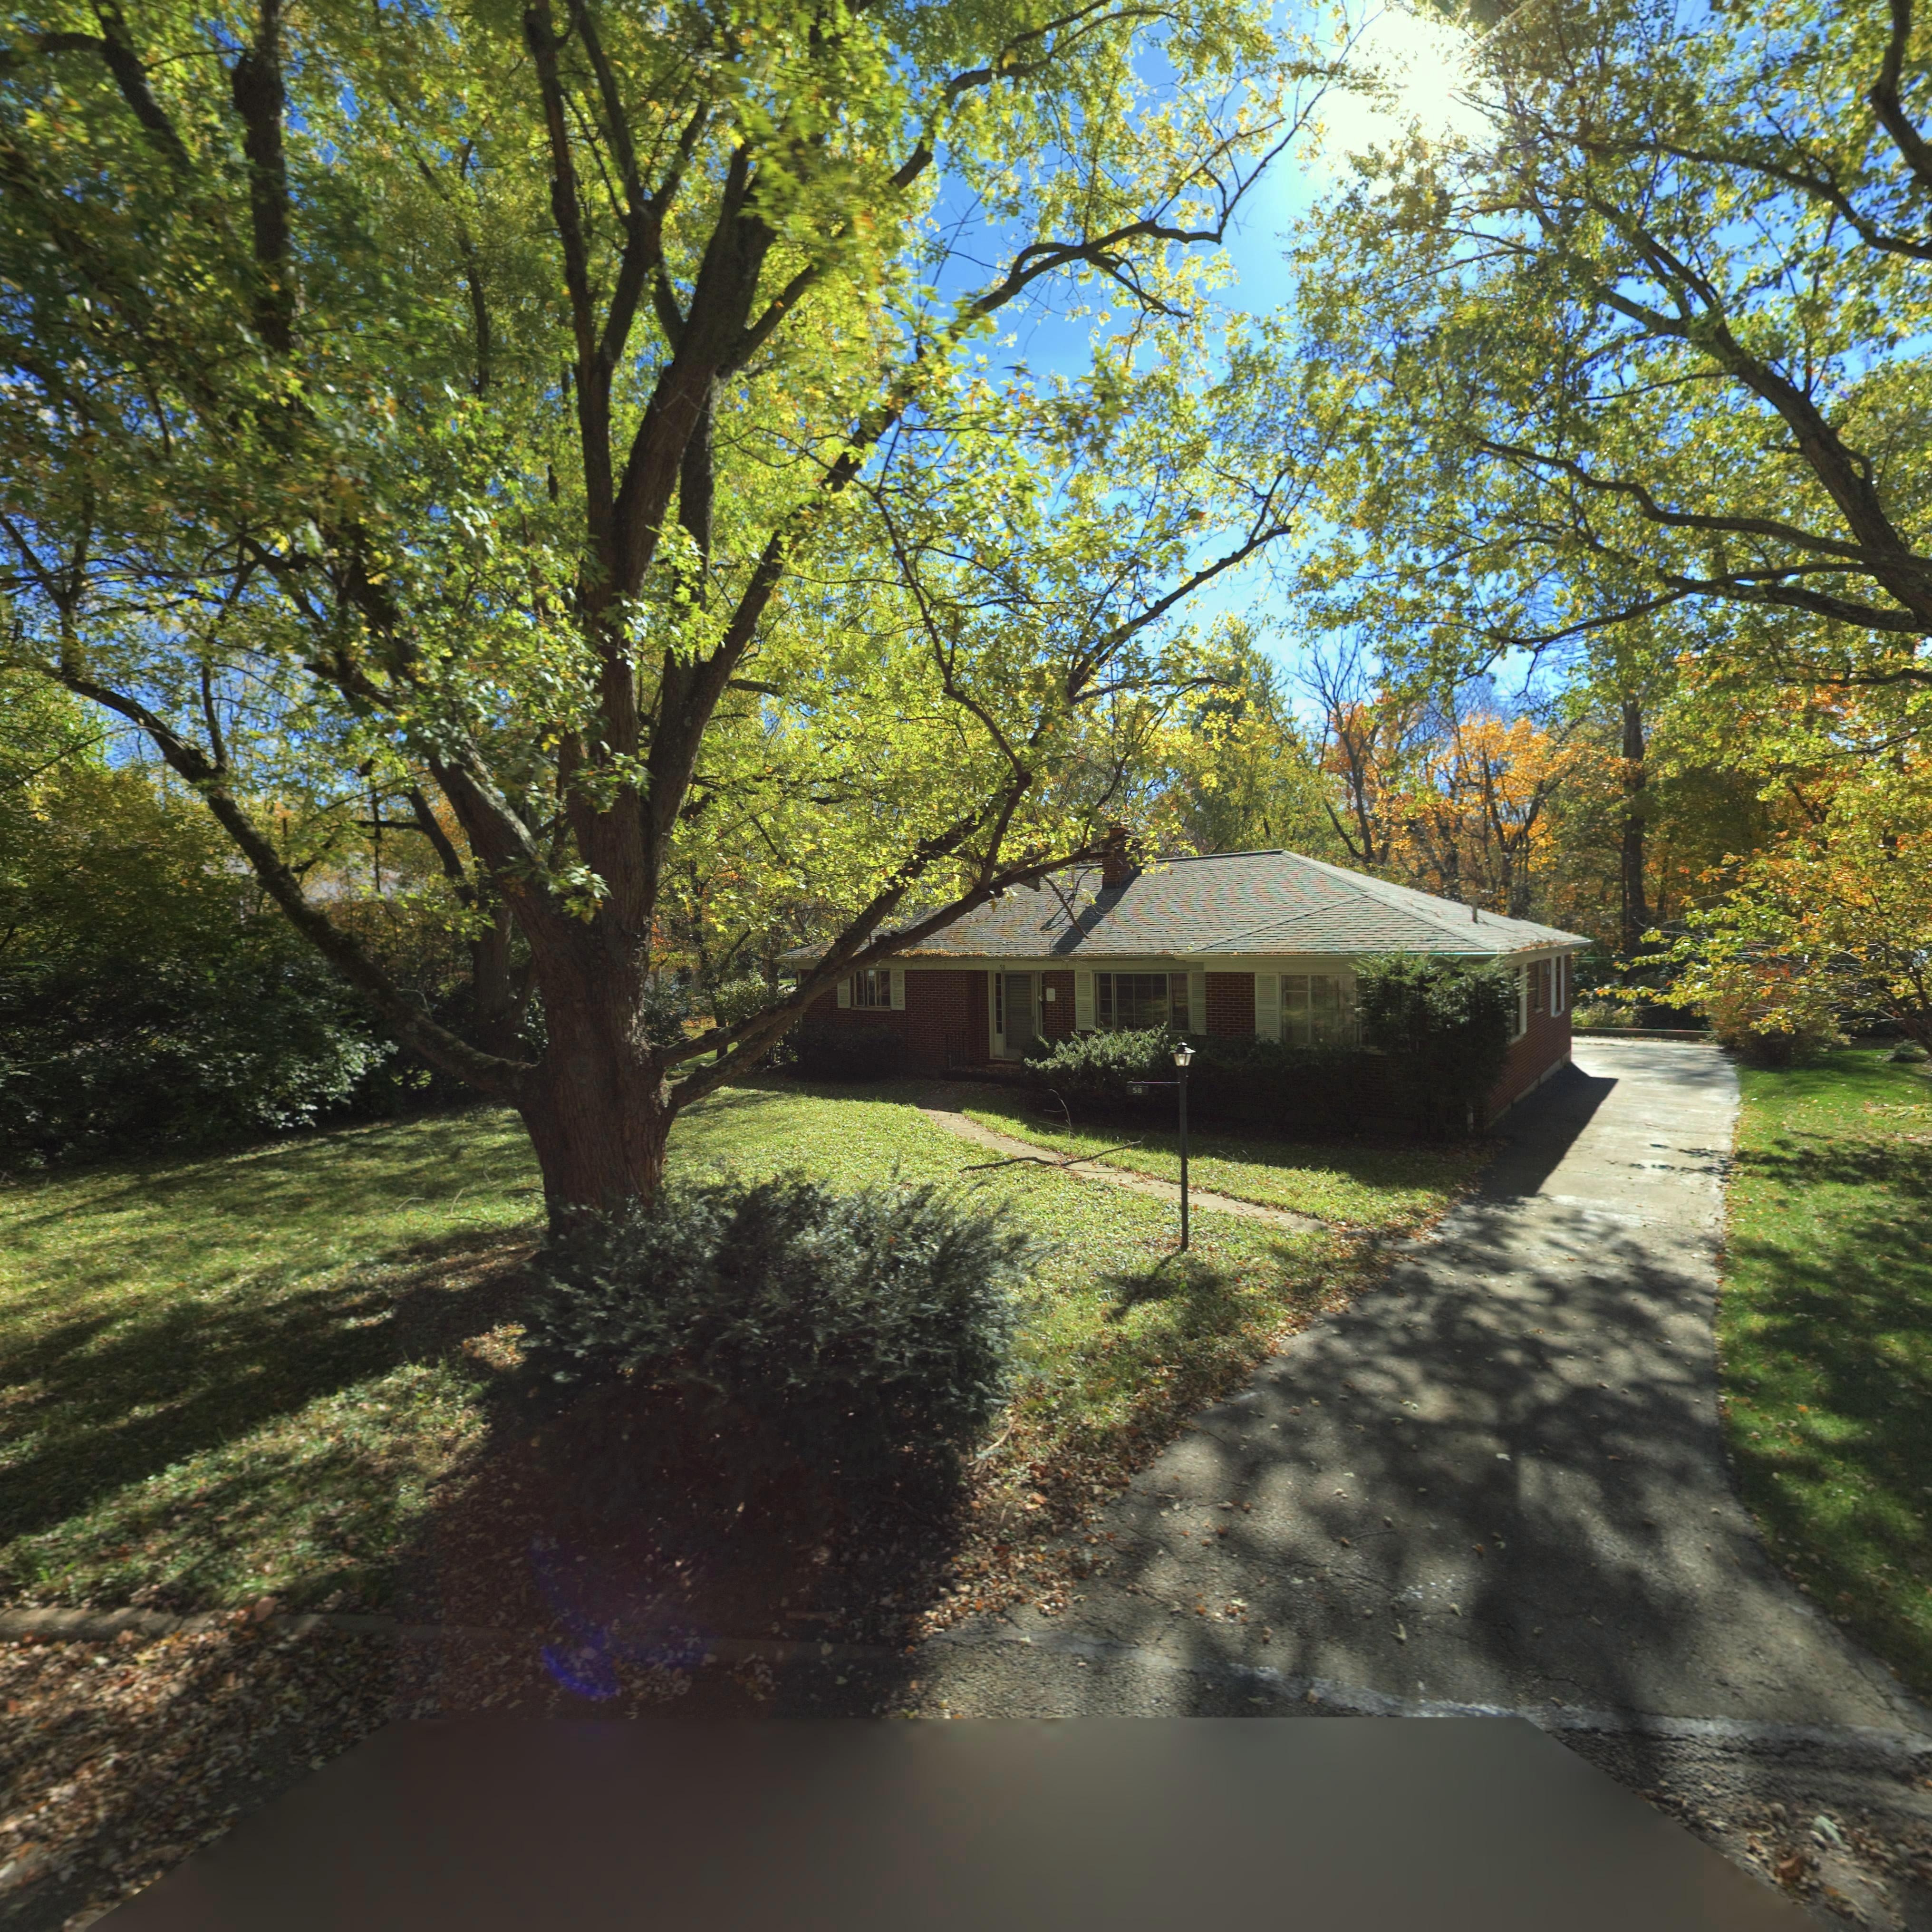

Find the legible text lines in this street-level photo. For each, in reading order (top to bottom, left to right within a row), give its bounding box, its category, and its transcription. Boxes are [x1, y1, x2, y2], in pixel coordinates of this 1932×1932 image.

[999, 964, 1005, 969] StreetNumber: 58
[1132, 1086, 1142, 1094] StreetNumber: 58